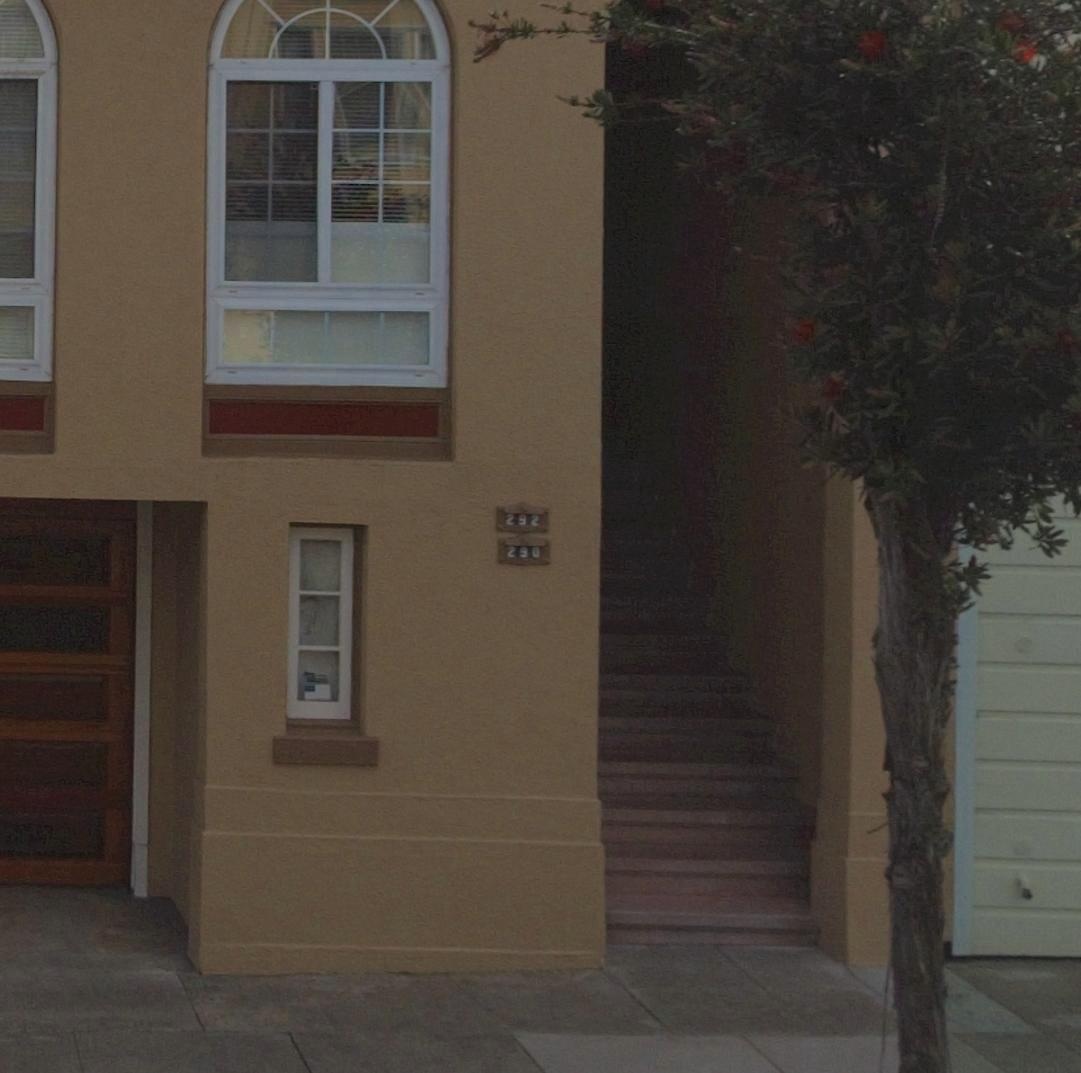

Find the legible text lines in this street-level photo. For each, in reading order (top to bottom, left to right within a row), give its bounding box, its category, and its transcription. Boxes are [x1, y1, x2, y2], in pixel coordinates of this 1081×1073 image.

[504, 513, 540, 526] StreetNumber: 292
[507, 546, 541, 559] StreetNumber: 290